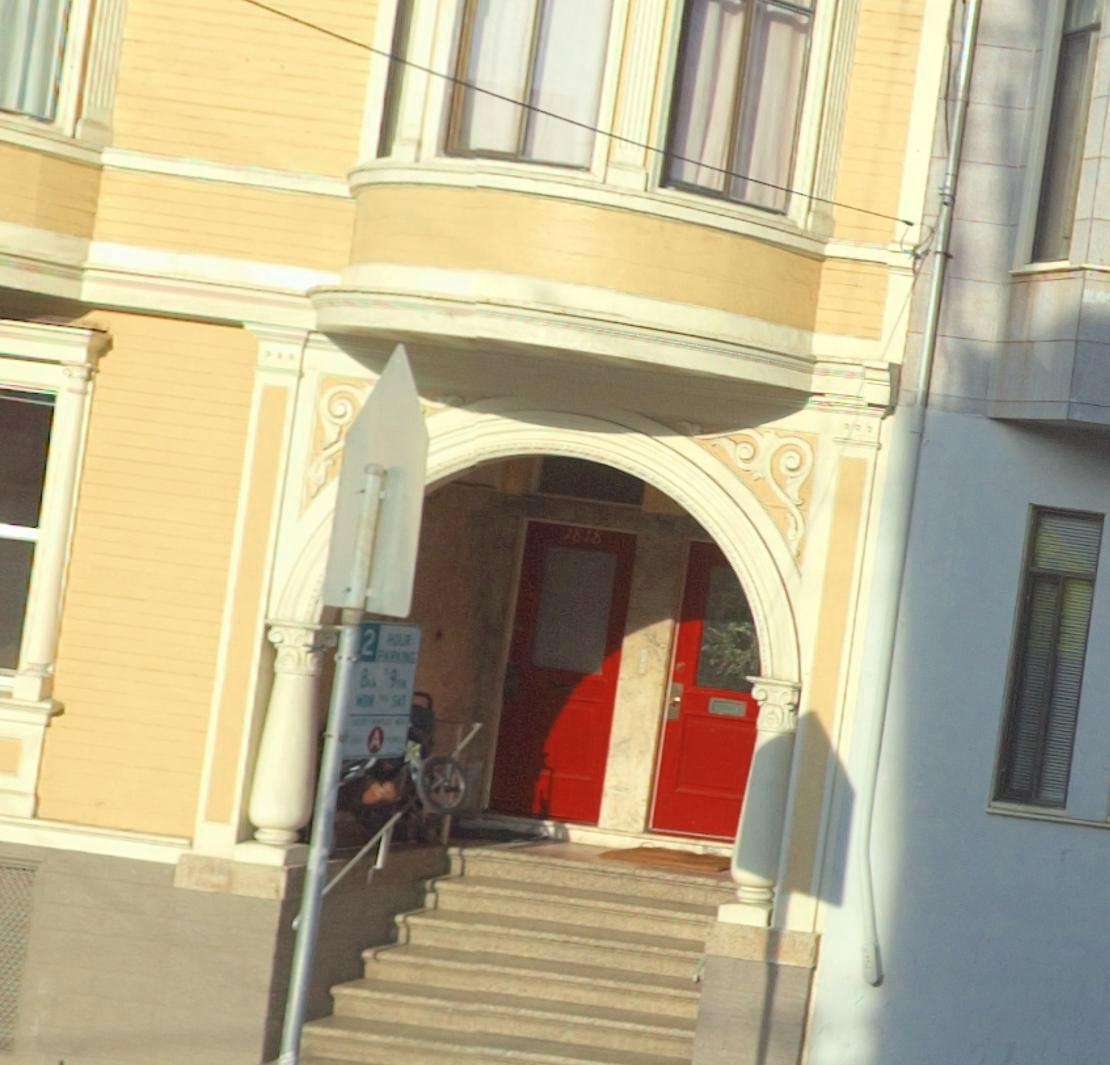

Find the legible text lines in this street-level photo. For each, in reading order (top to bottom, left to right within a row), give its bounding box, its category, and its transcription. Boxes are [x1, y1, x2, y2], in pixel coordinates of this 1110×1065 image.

[561, 521, 606, 547] StreetNumber: 1818
[358, 626, 380, 659] None: 2
[384, 631, 414, 648] None: HOUR
[375, 647, 418, 666] None: PARKING
[357, 664, 372, 689] None: 8
[387, 668, 400, 689] None: 9
[389, 690, 409, 709] None: SAT
[366, 728, 383, 750] None: A